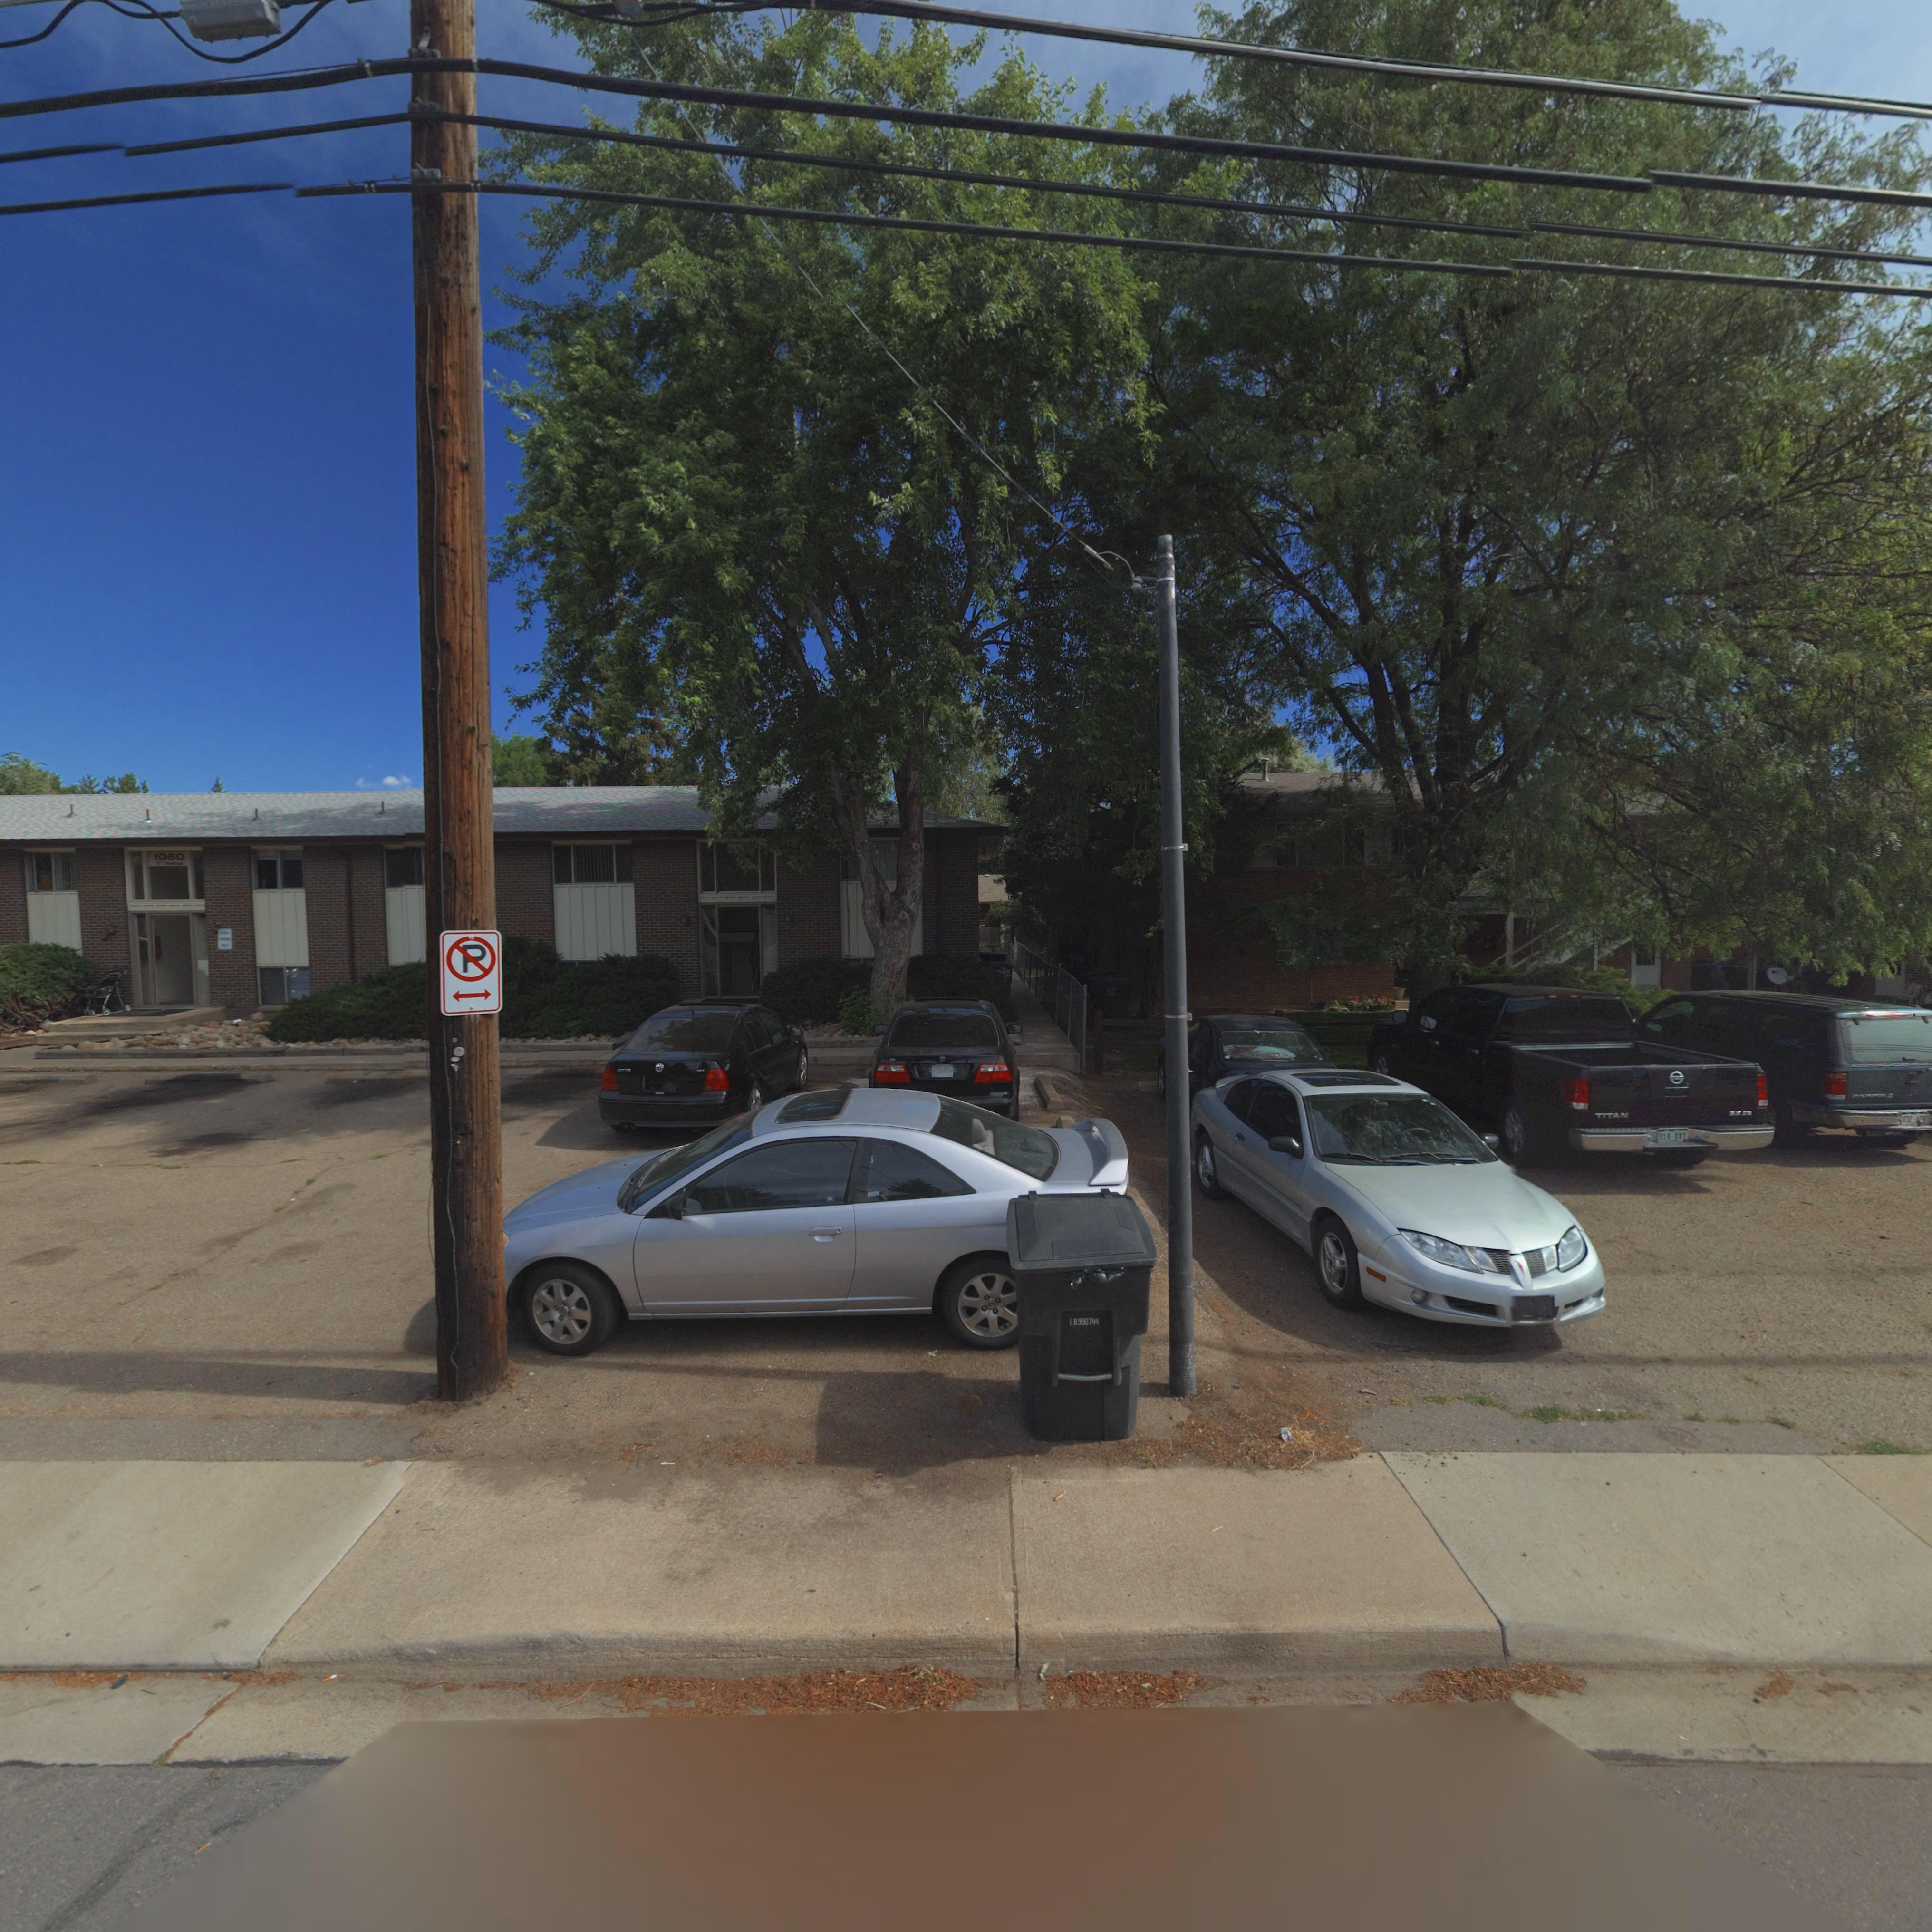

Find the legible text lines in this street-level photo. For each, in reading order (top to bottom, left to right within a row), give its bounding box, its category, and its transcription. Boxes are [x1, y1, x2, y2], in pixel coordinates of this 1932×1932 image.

[153, 852, 185, 861] StreetNumber: 1050